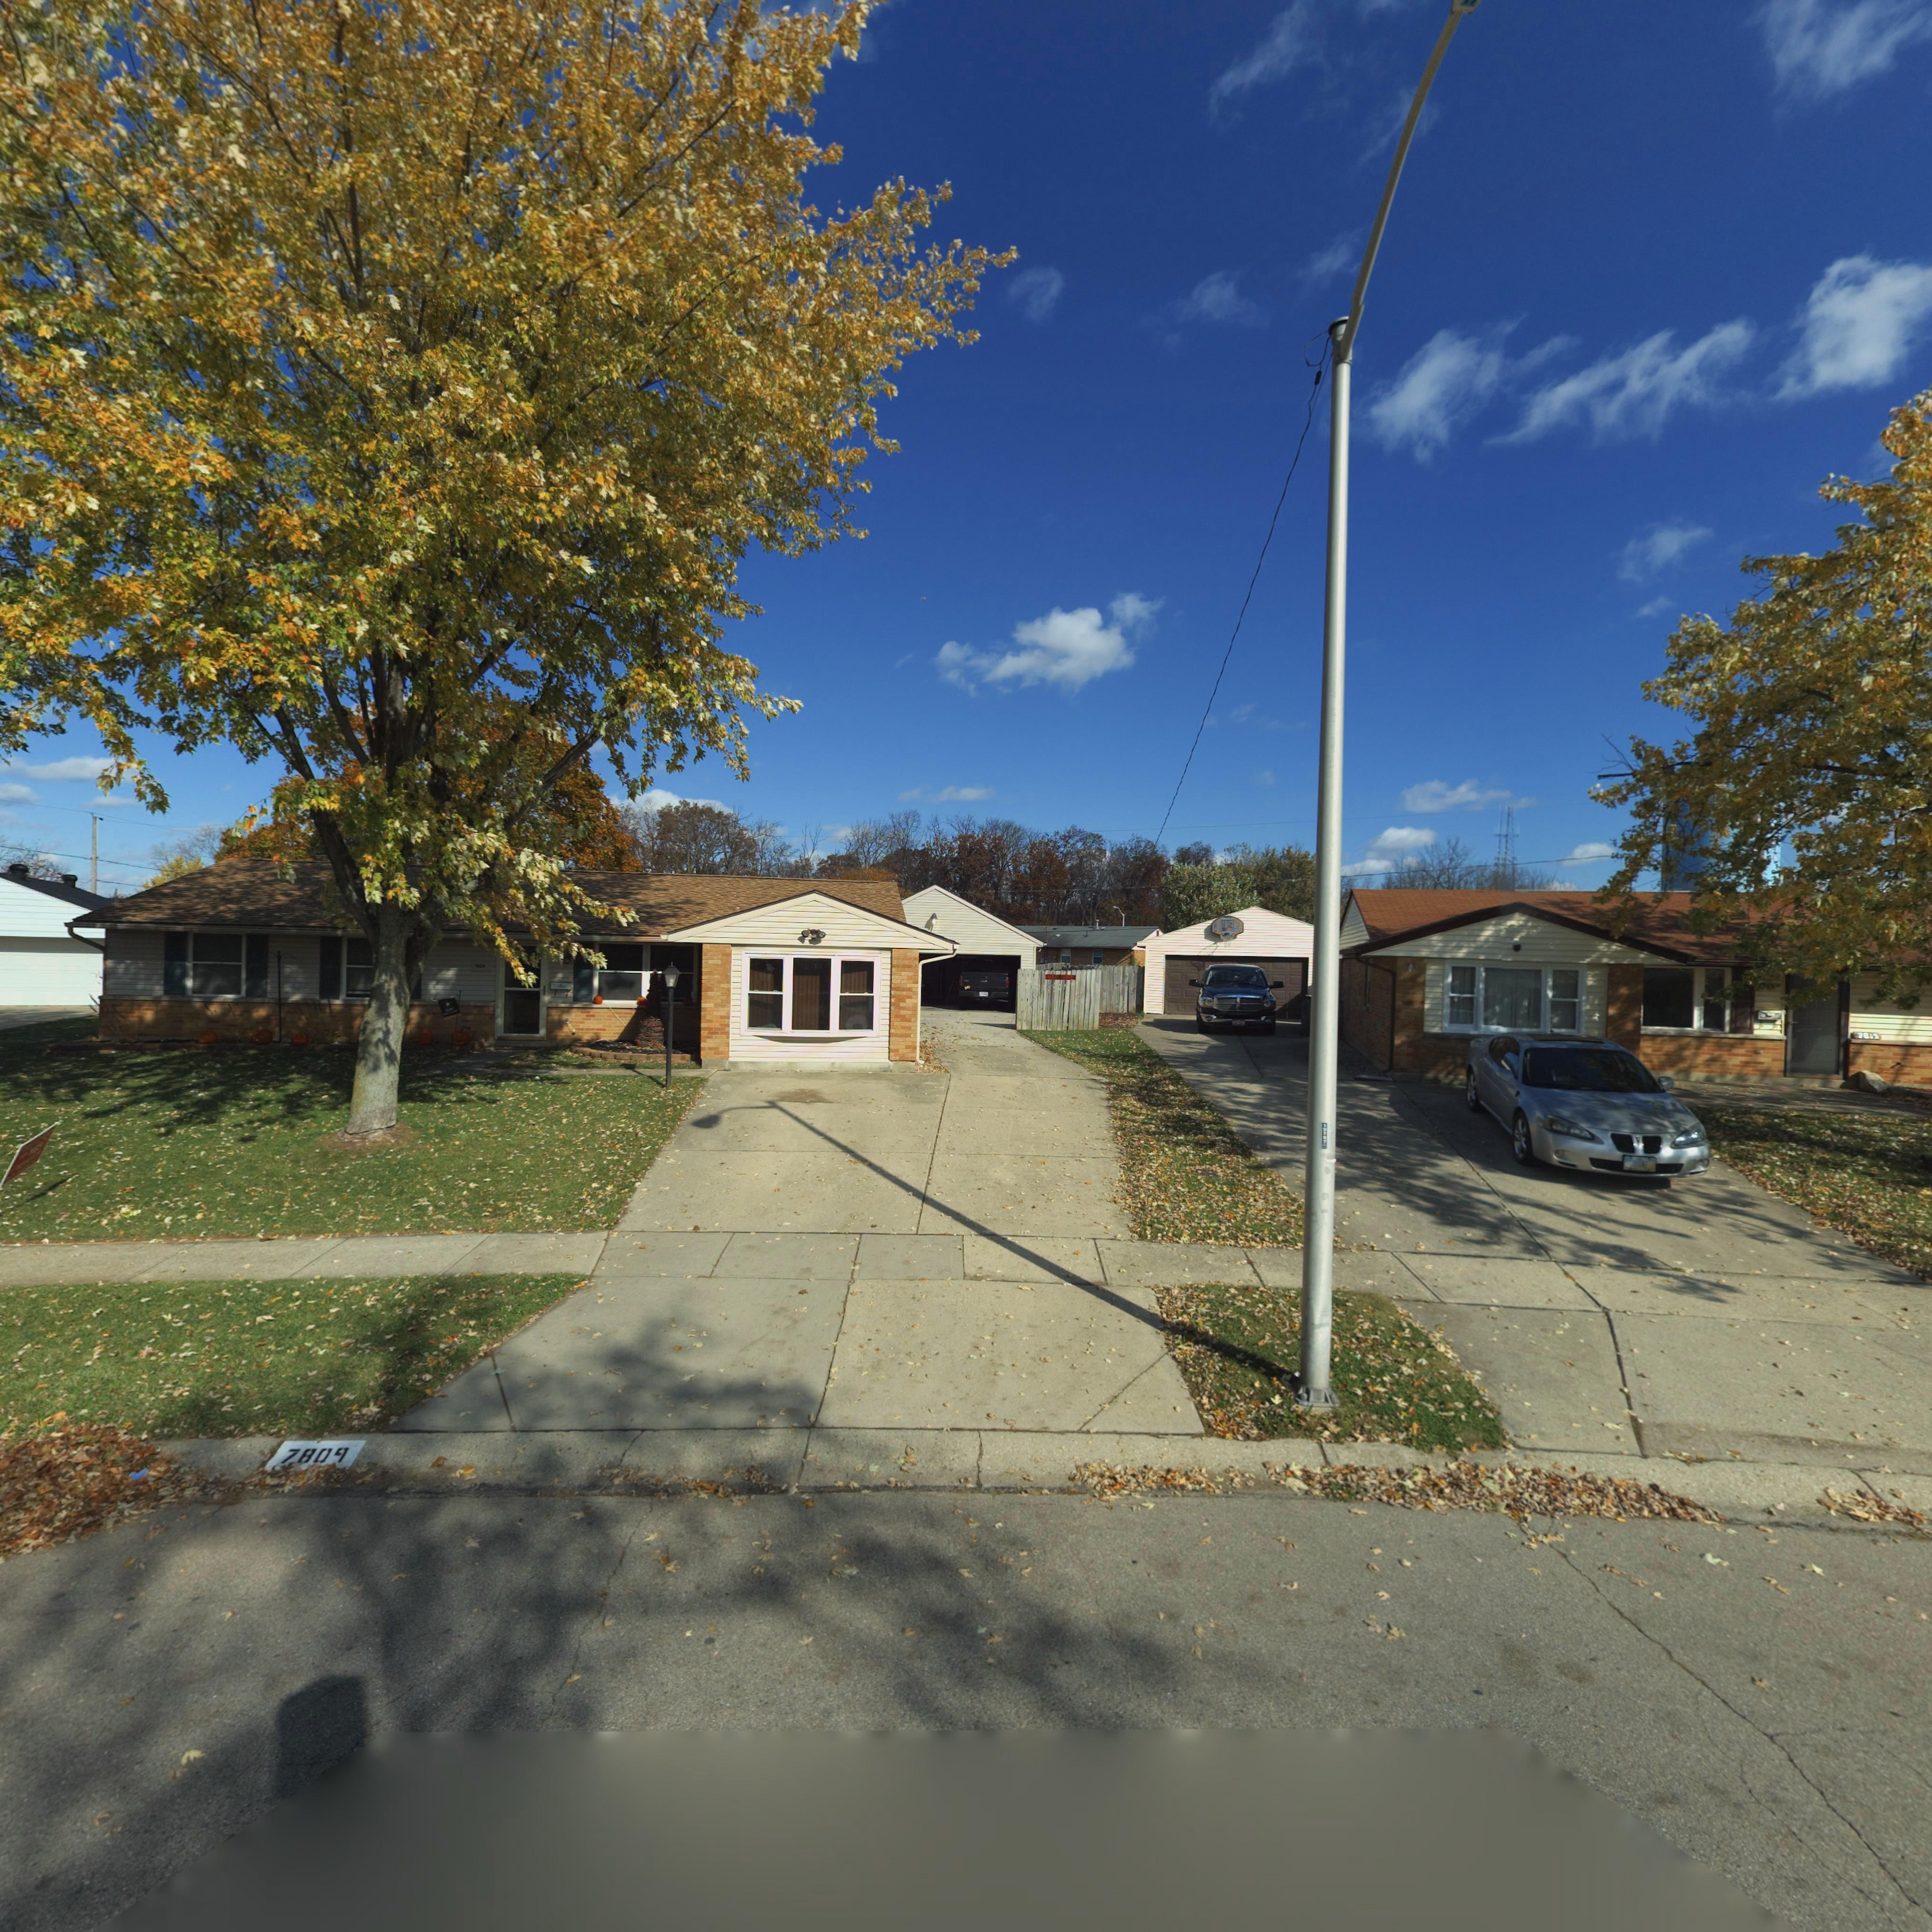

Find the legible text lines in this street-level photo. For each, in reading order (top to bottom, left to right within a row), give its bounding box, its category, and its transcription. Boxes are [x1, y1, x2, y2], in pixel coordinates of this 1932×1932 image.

[474, 963, 486, 968] StreetNumber: 7809
[1857, 1032, 1880, 1040] StreetNumber: 7*1*
[278, 1447, 351, 1464] StreetNumber: 7809